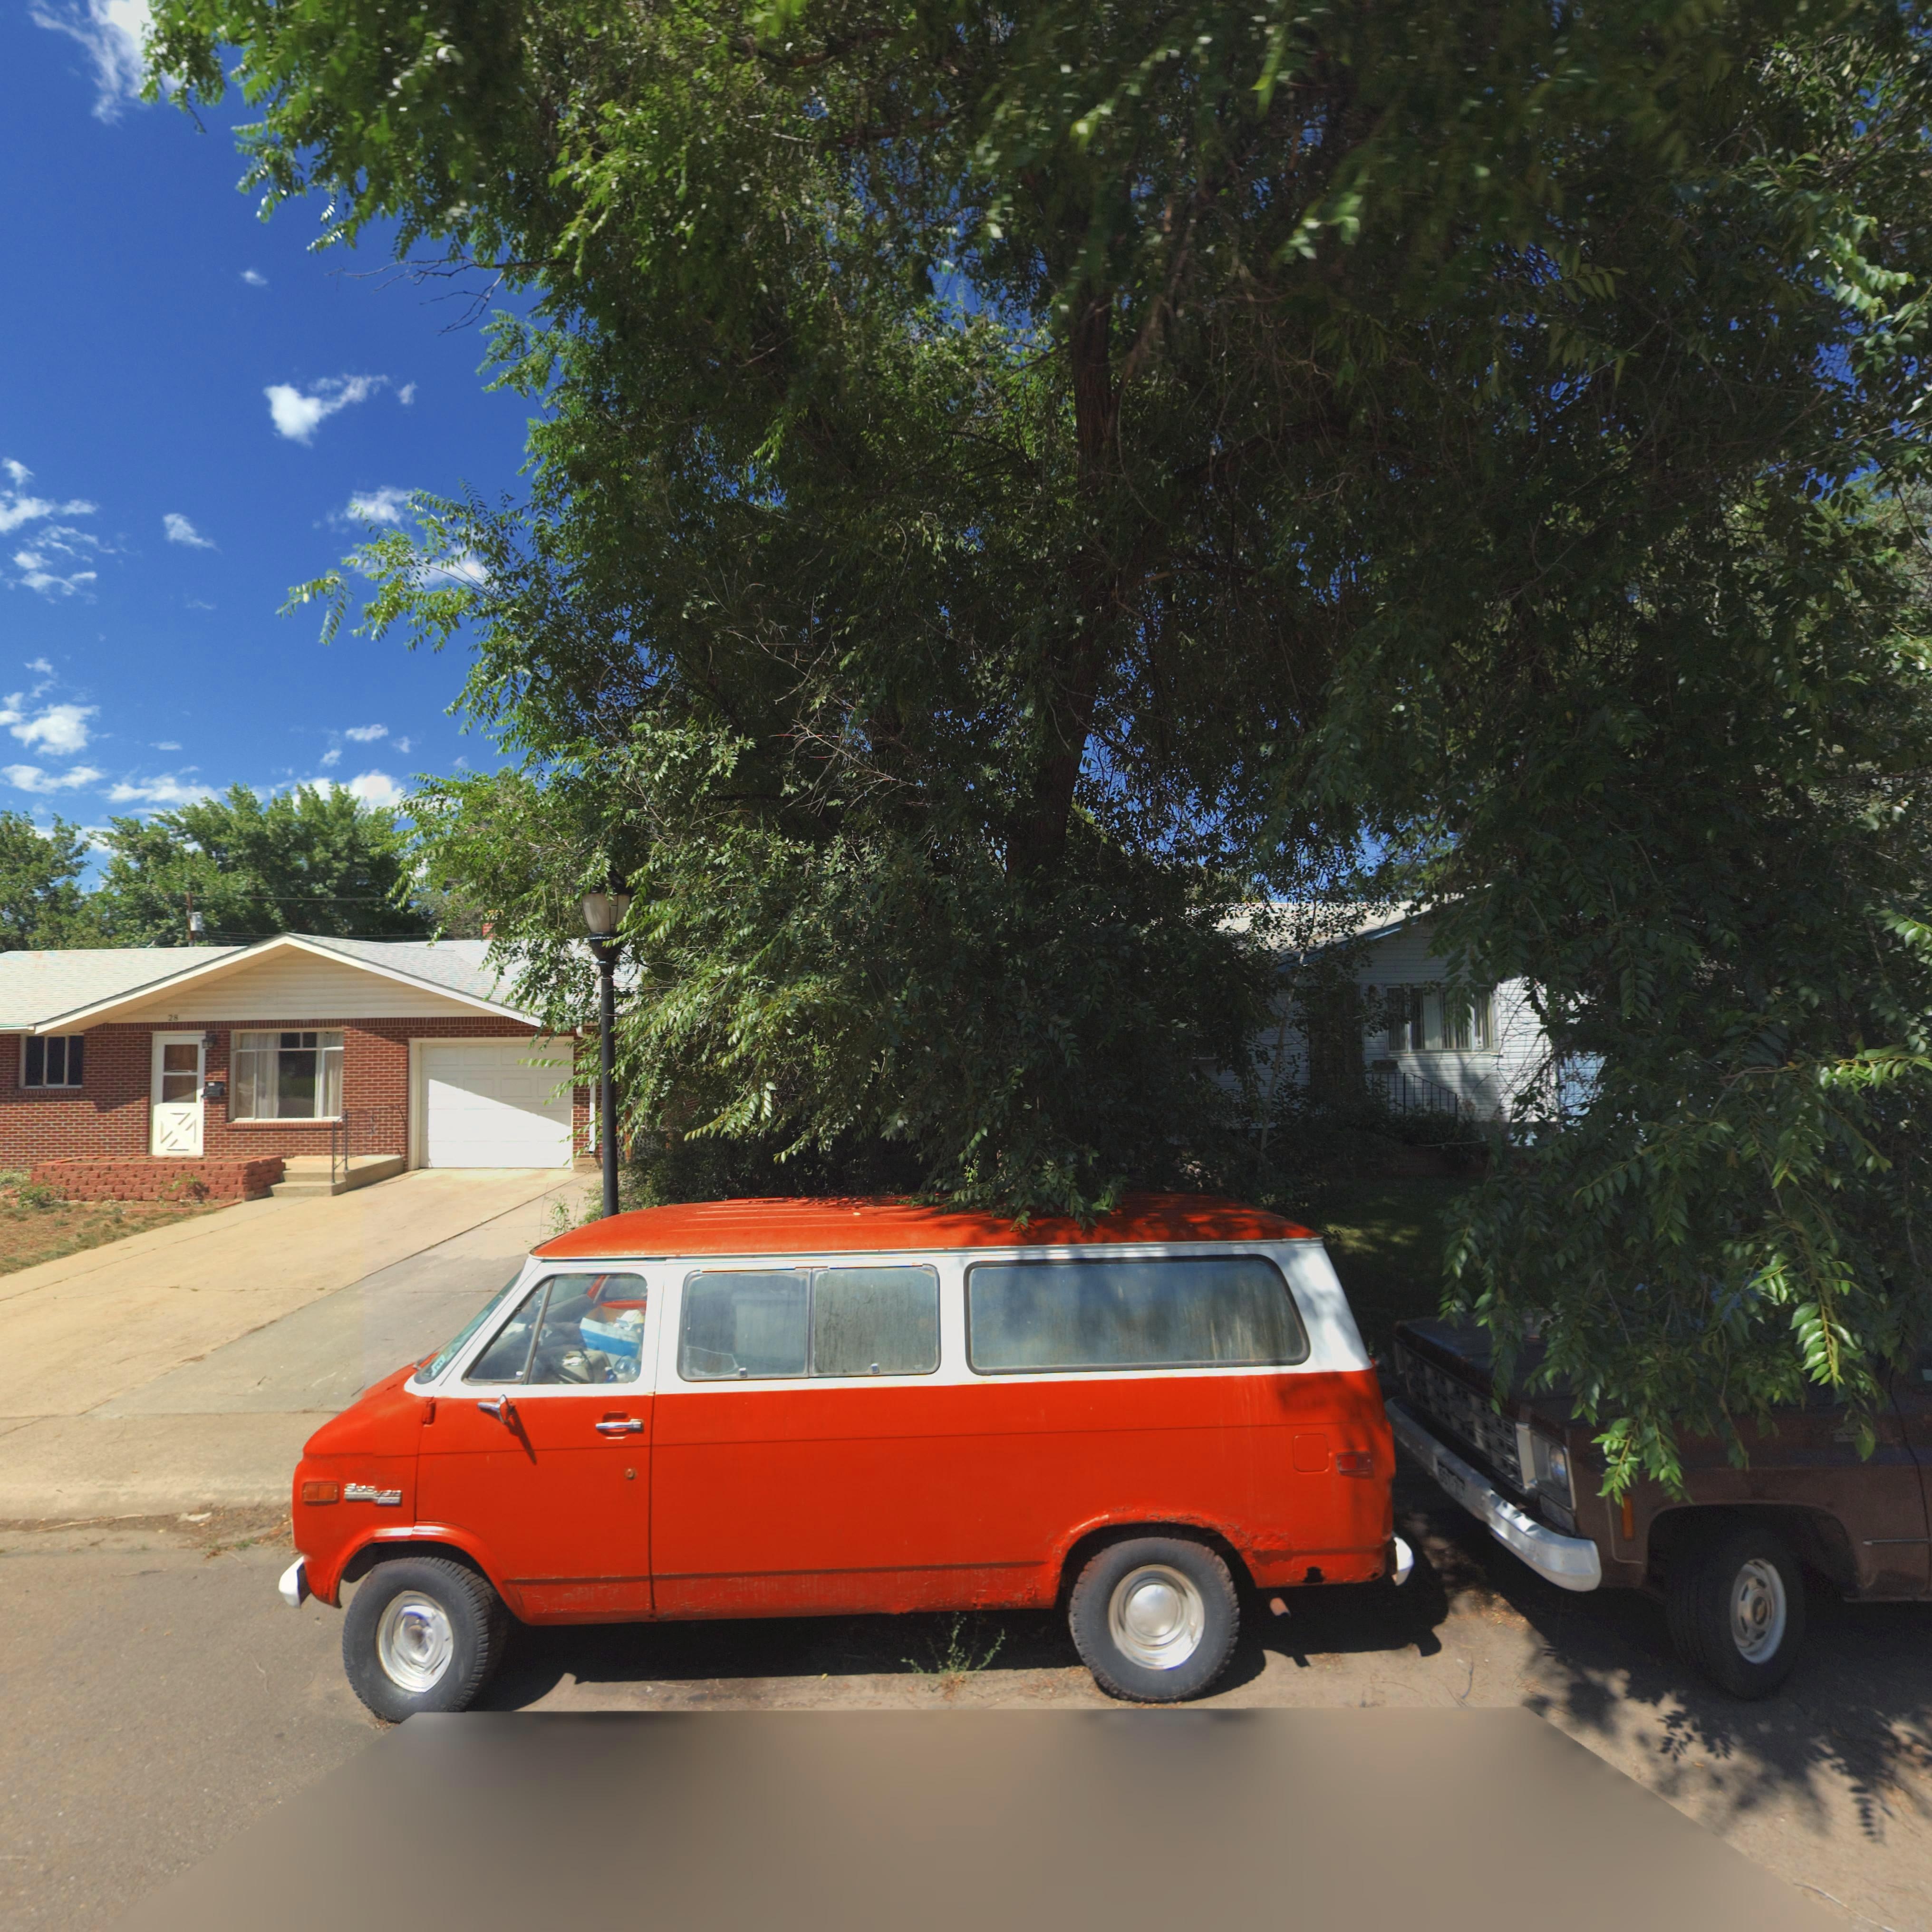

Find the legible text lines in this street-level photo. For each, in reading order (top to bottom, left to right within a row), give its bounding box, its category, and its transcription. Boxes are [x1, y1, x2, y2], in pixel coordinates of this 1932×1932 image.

[167, 1014, 179, 1022] StreetNumber: 28